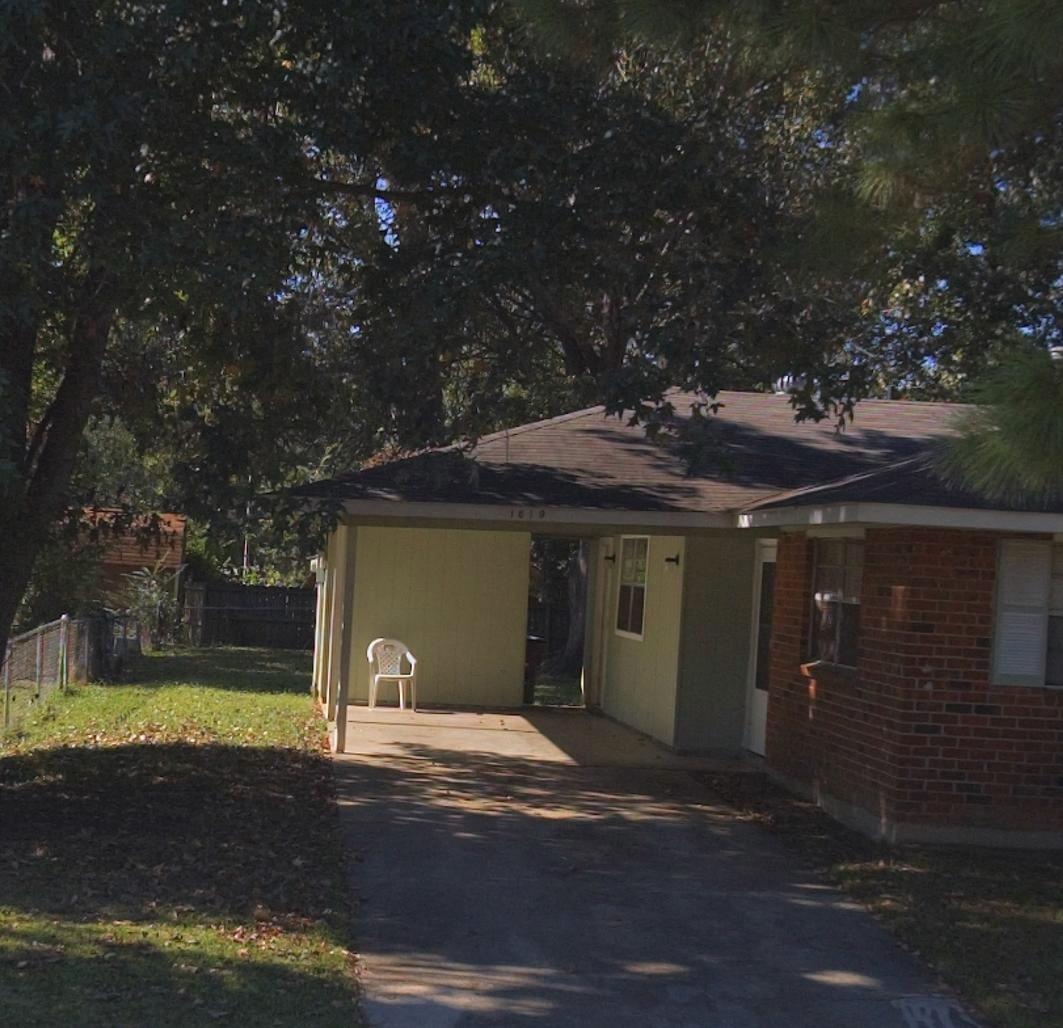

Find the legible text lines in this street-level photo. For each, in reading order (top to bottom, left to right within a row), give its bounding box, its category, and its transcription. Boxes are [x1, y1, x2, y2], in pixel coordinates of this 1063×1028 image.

[509, 509, 546, 519] StreetNumber: 1619